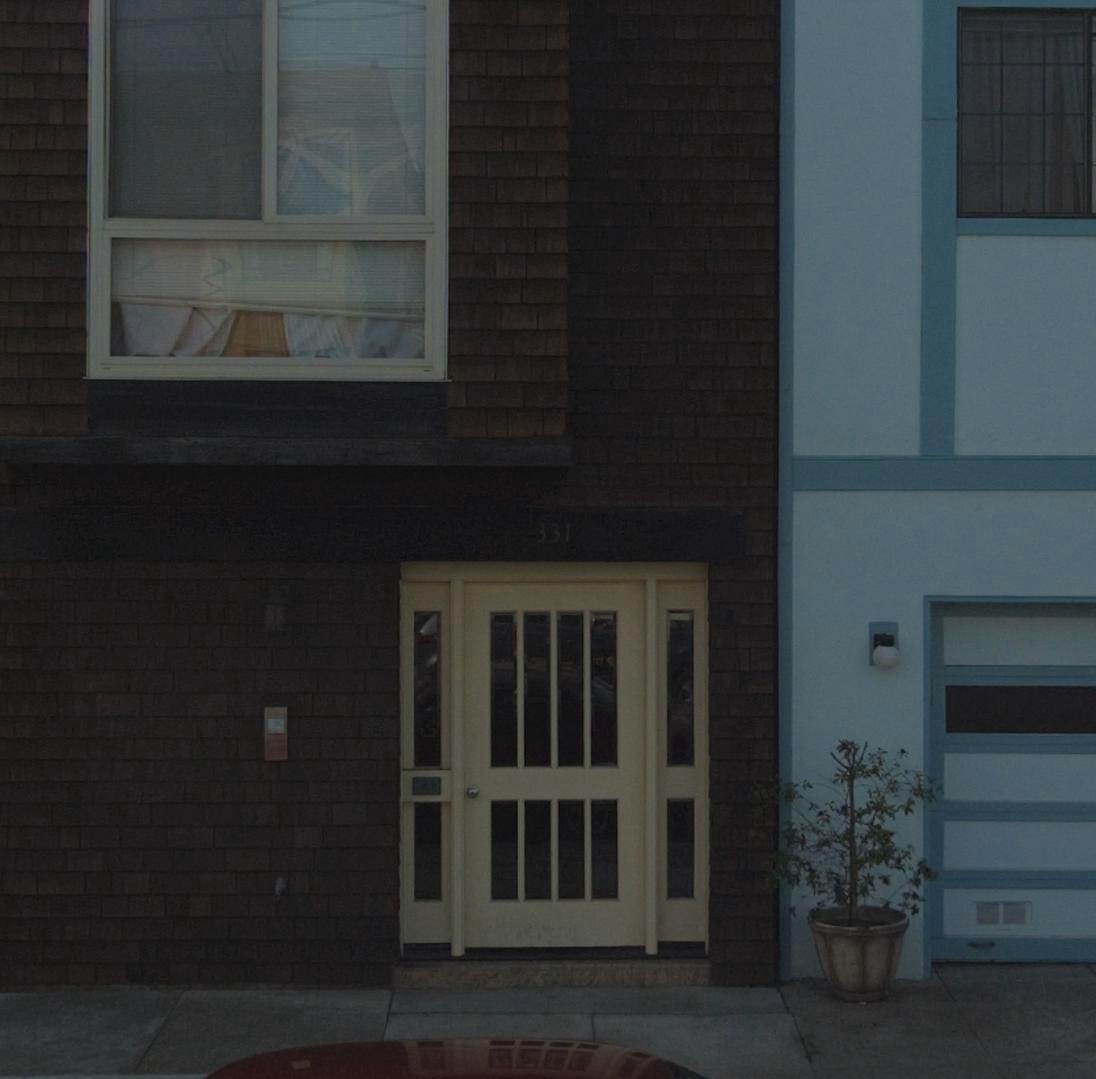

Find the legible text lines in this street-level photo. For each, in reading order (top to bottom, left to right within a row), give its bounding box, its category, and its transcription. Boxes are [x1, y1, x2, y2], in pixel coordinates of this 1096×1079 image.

[532, 521, 572, 544] StreetNumber: 331